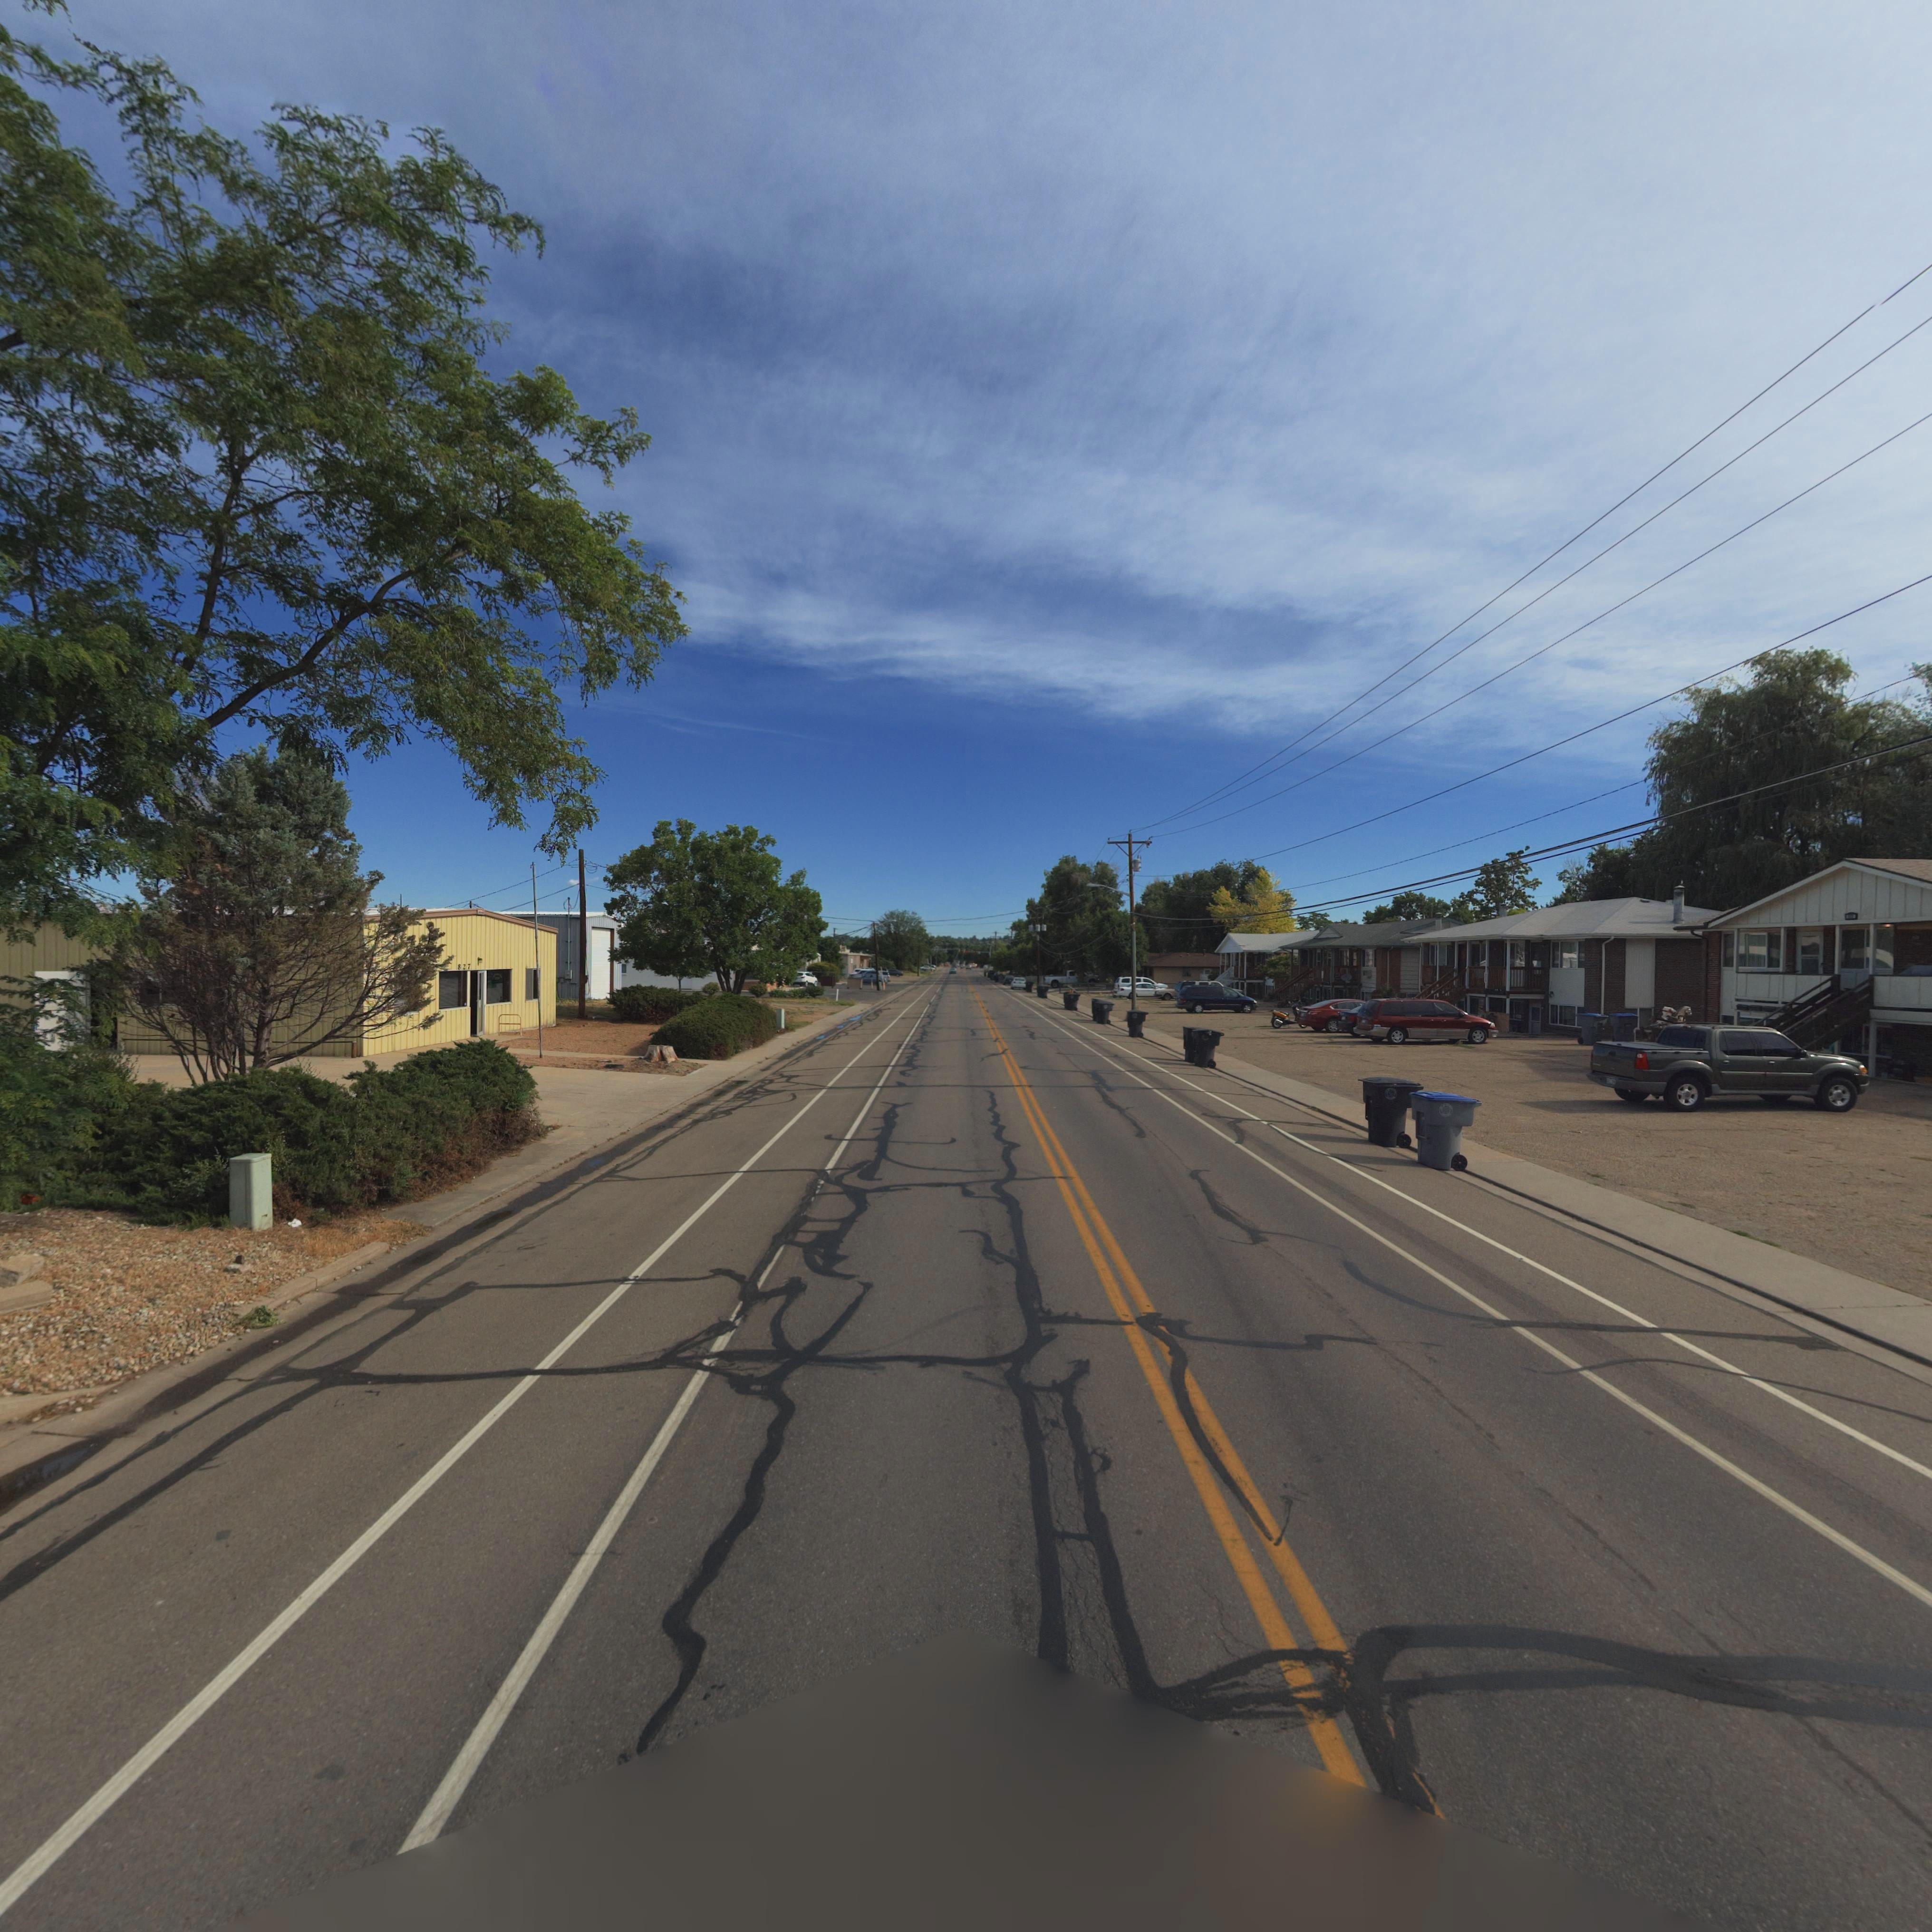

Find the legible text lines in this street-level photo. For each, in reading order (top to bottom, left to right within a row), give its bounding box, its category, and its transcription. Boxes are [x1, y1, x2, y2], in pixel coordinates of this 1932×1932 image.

[456, 962, 472, 971] StreetNumber: 827